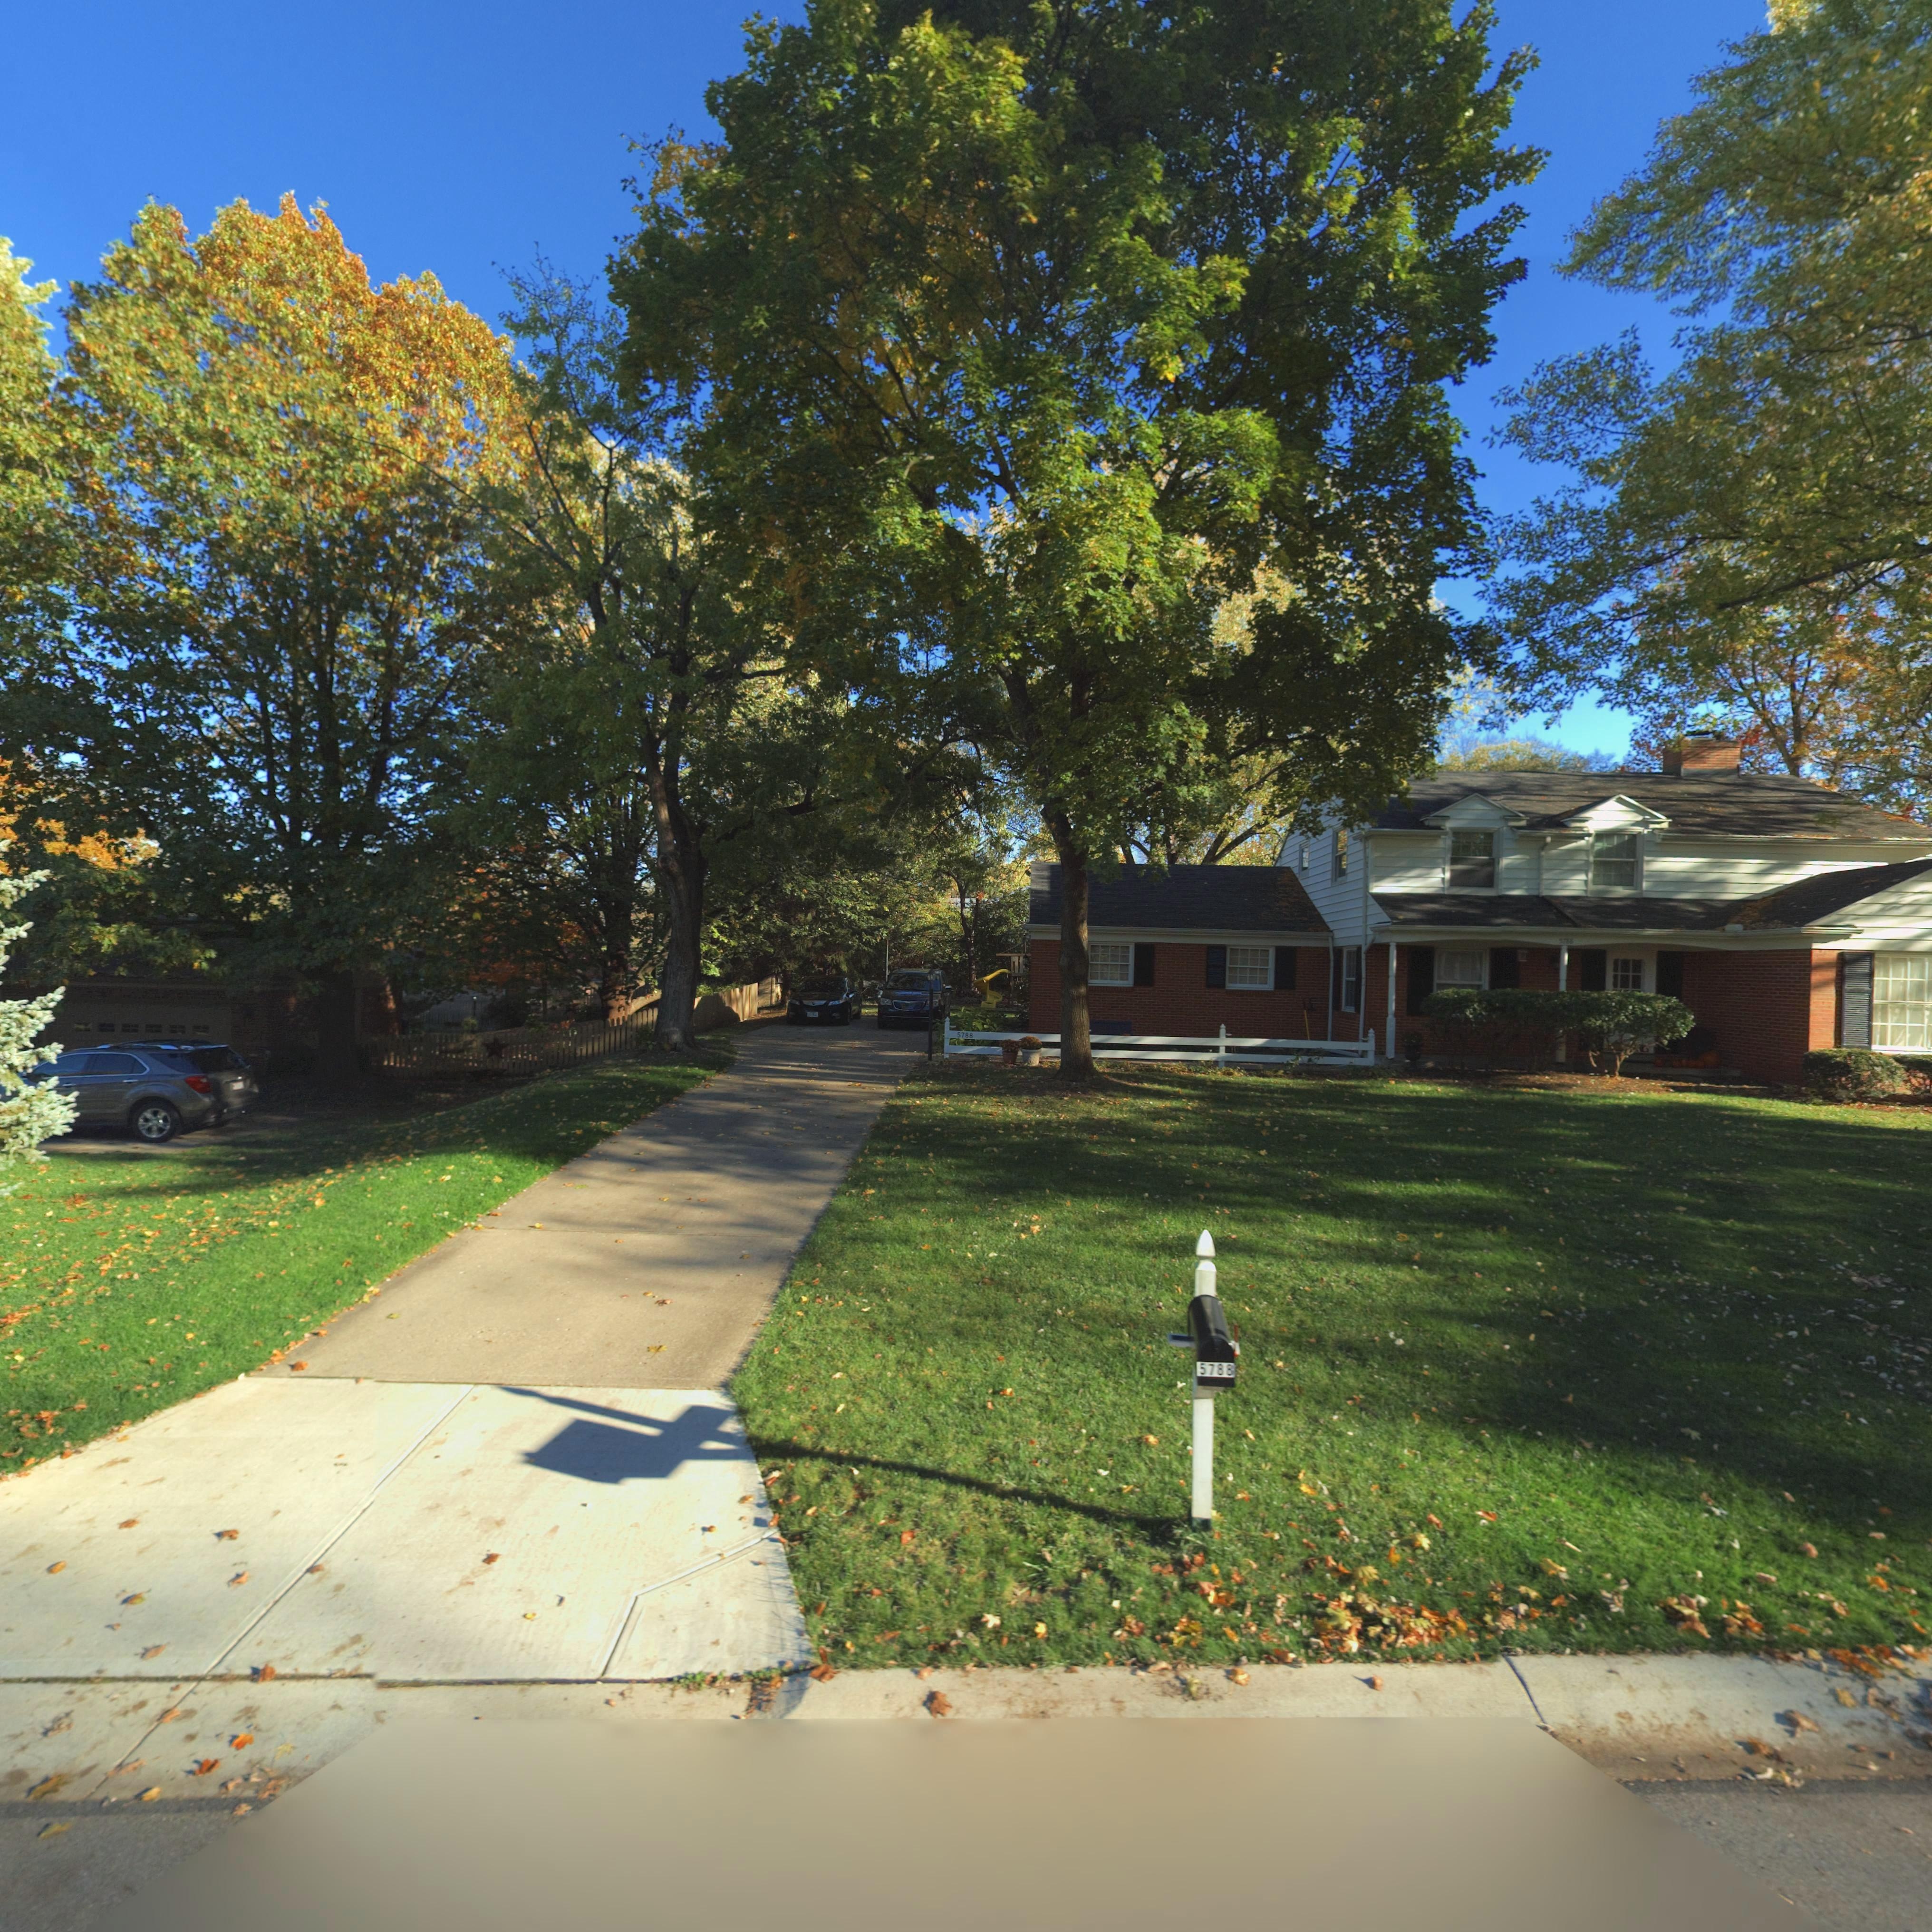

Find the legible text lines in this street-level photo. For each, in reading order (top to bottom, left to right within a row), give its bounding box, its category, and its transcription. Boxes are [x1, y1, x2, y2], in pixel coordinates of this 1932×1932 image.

[1557, 937, 1574, 944] StreetNumber: 5788
[956, 1031, 973, 1039] StreetNumber: 5788
[1199, 1362, 1234, 1377] StreetNumber: 5788